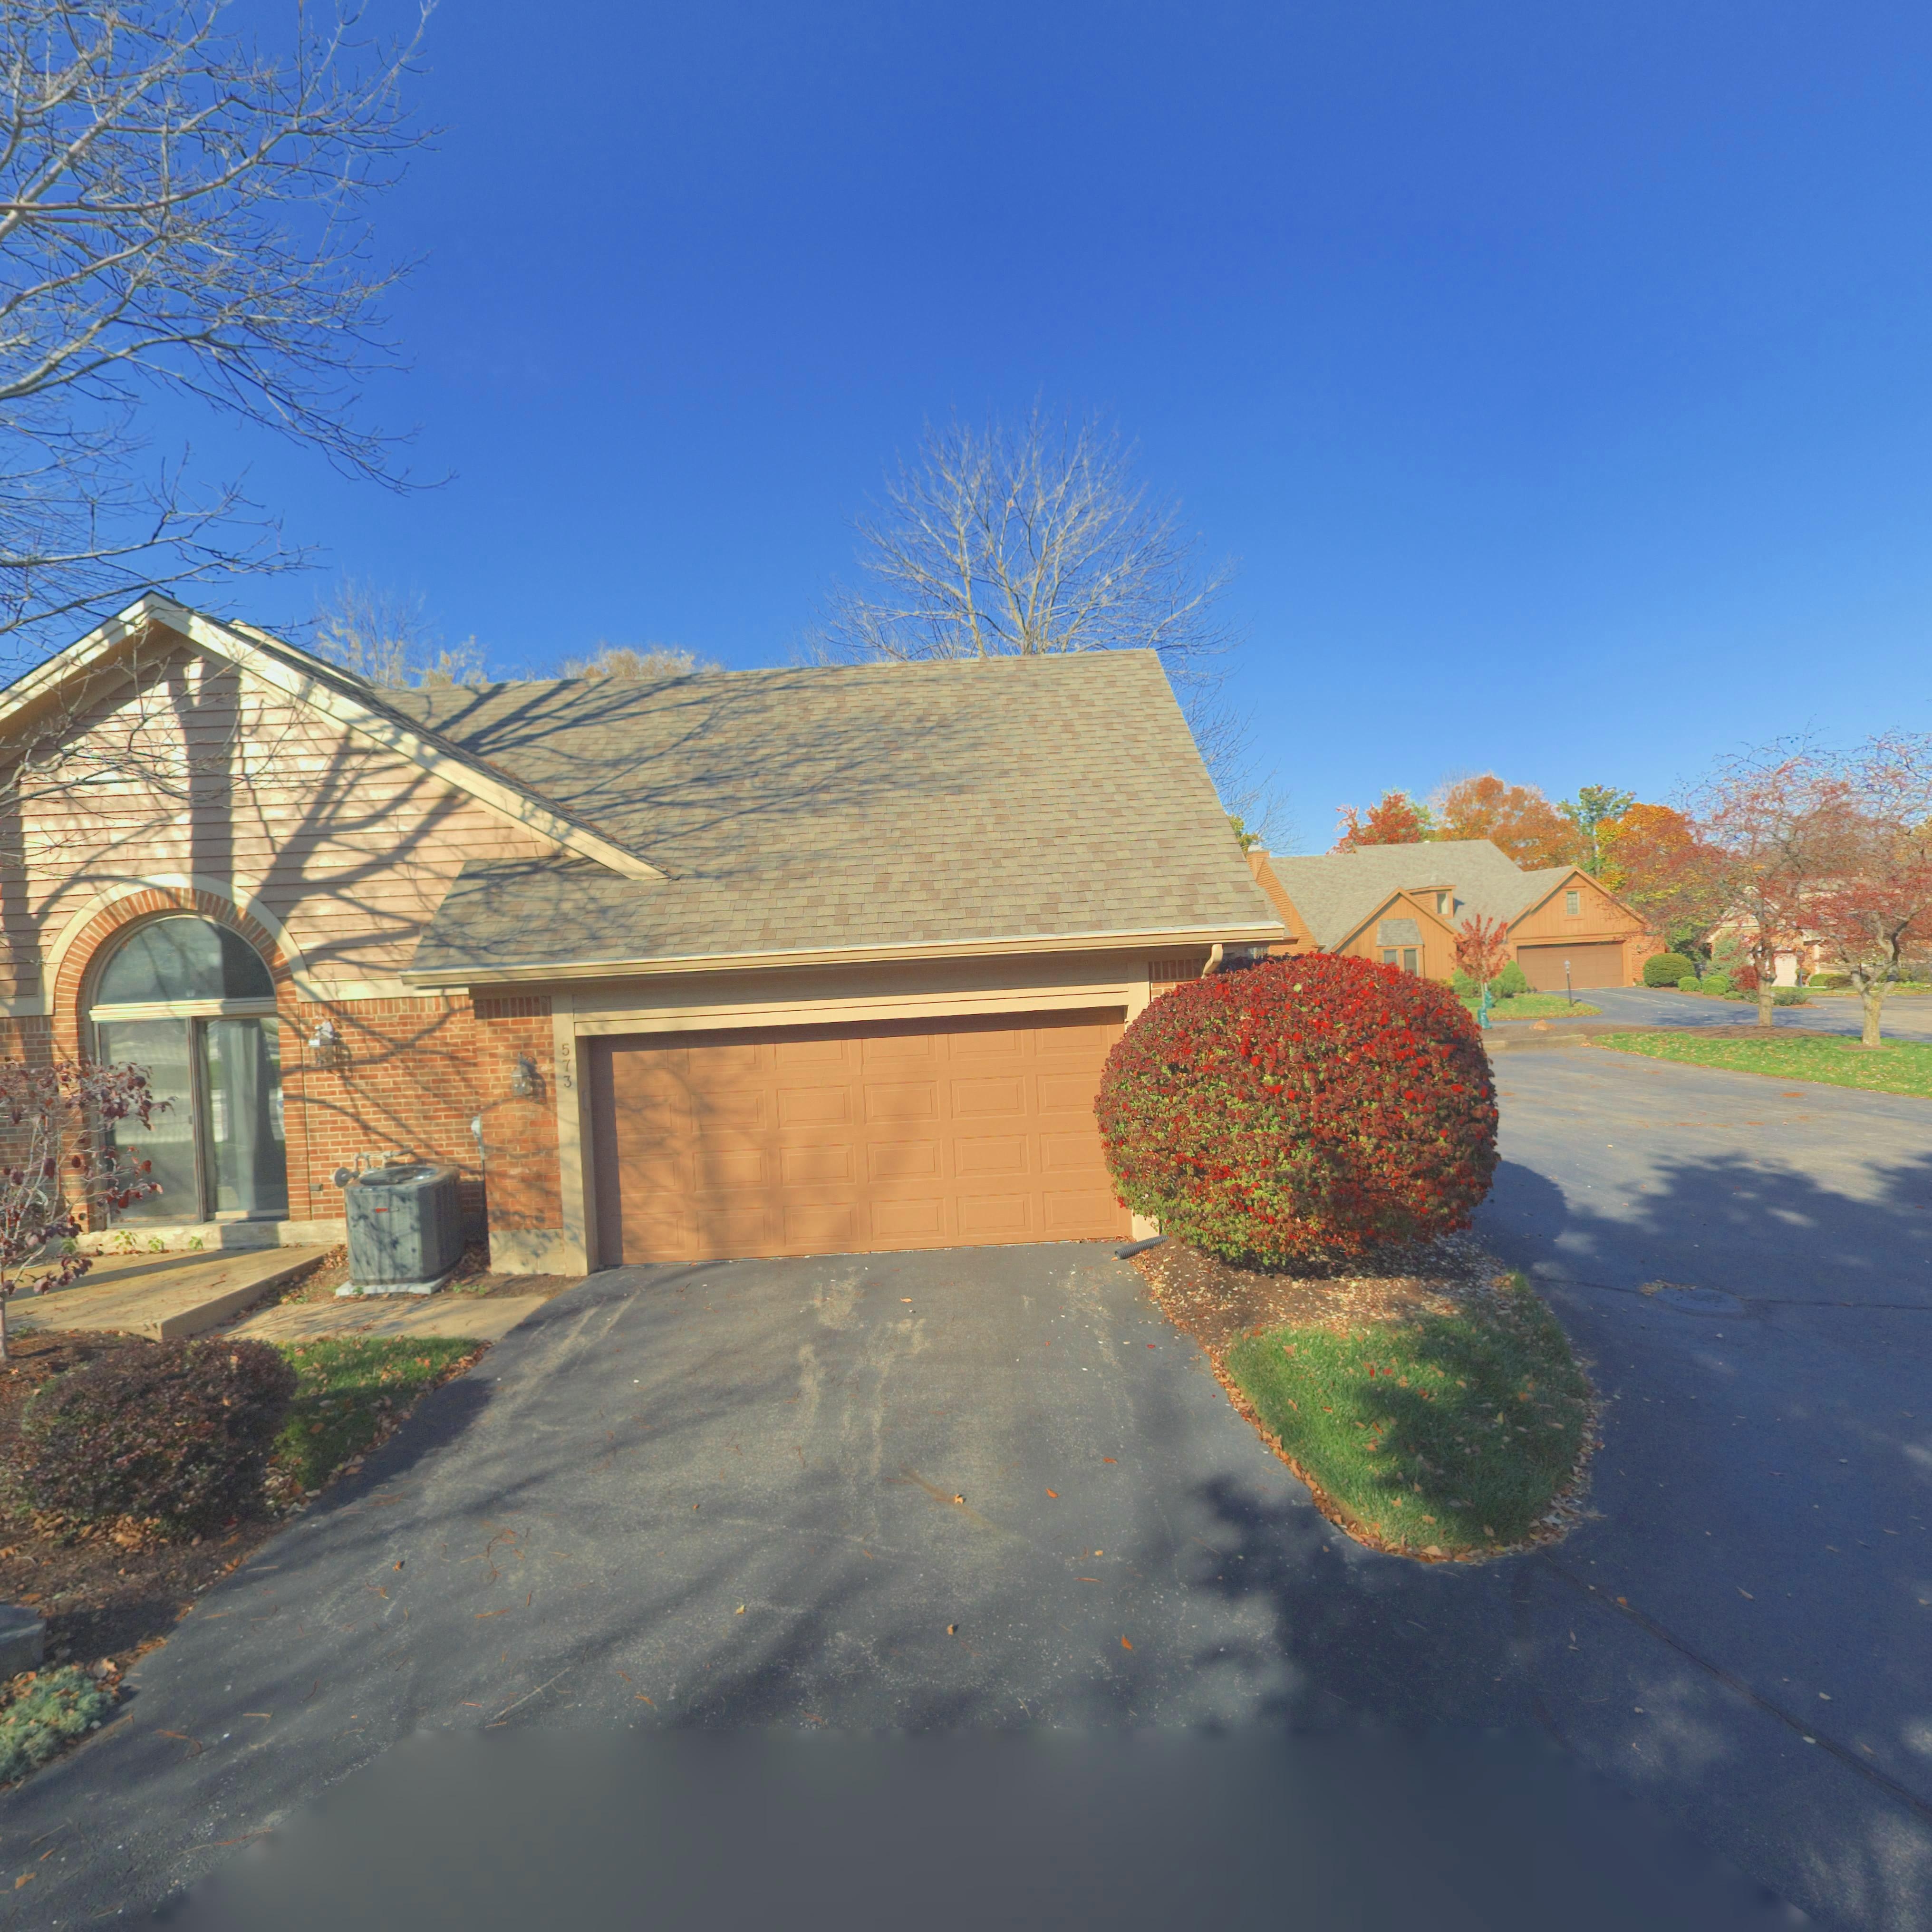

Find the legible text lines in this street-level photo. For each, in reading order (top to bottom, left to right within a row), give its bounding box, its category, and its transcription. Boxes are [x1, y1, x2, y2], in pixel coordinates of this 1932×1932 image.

[559, 1040, 574, 1090] StreetNumber: 573